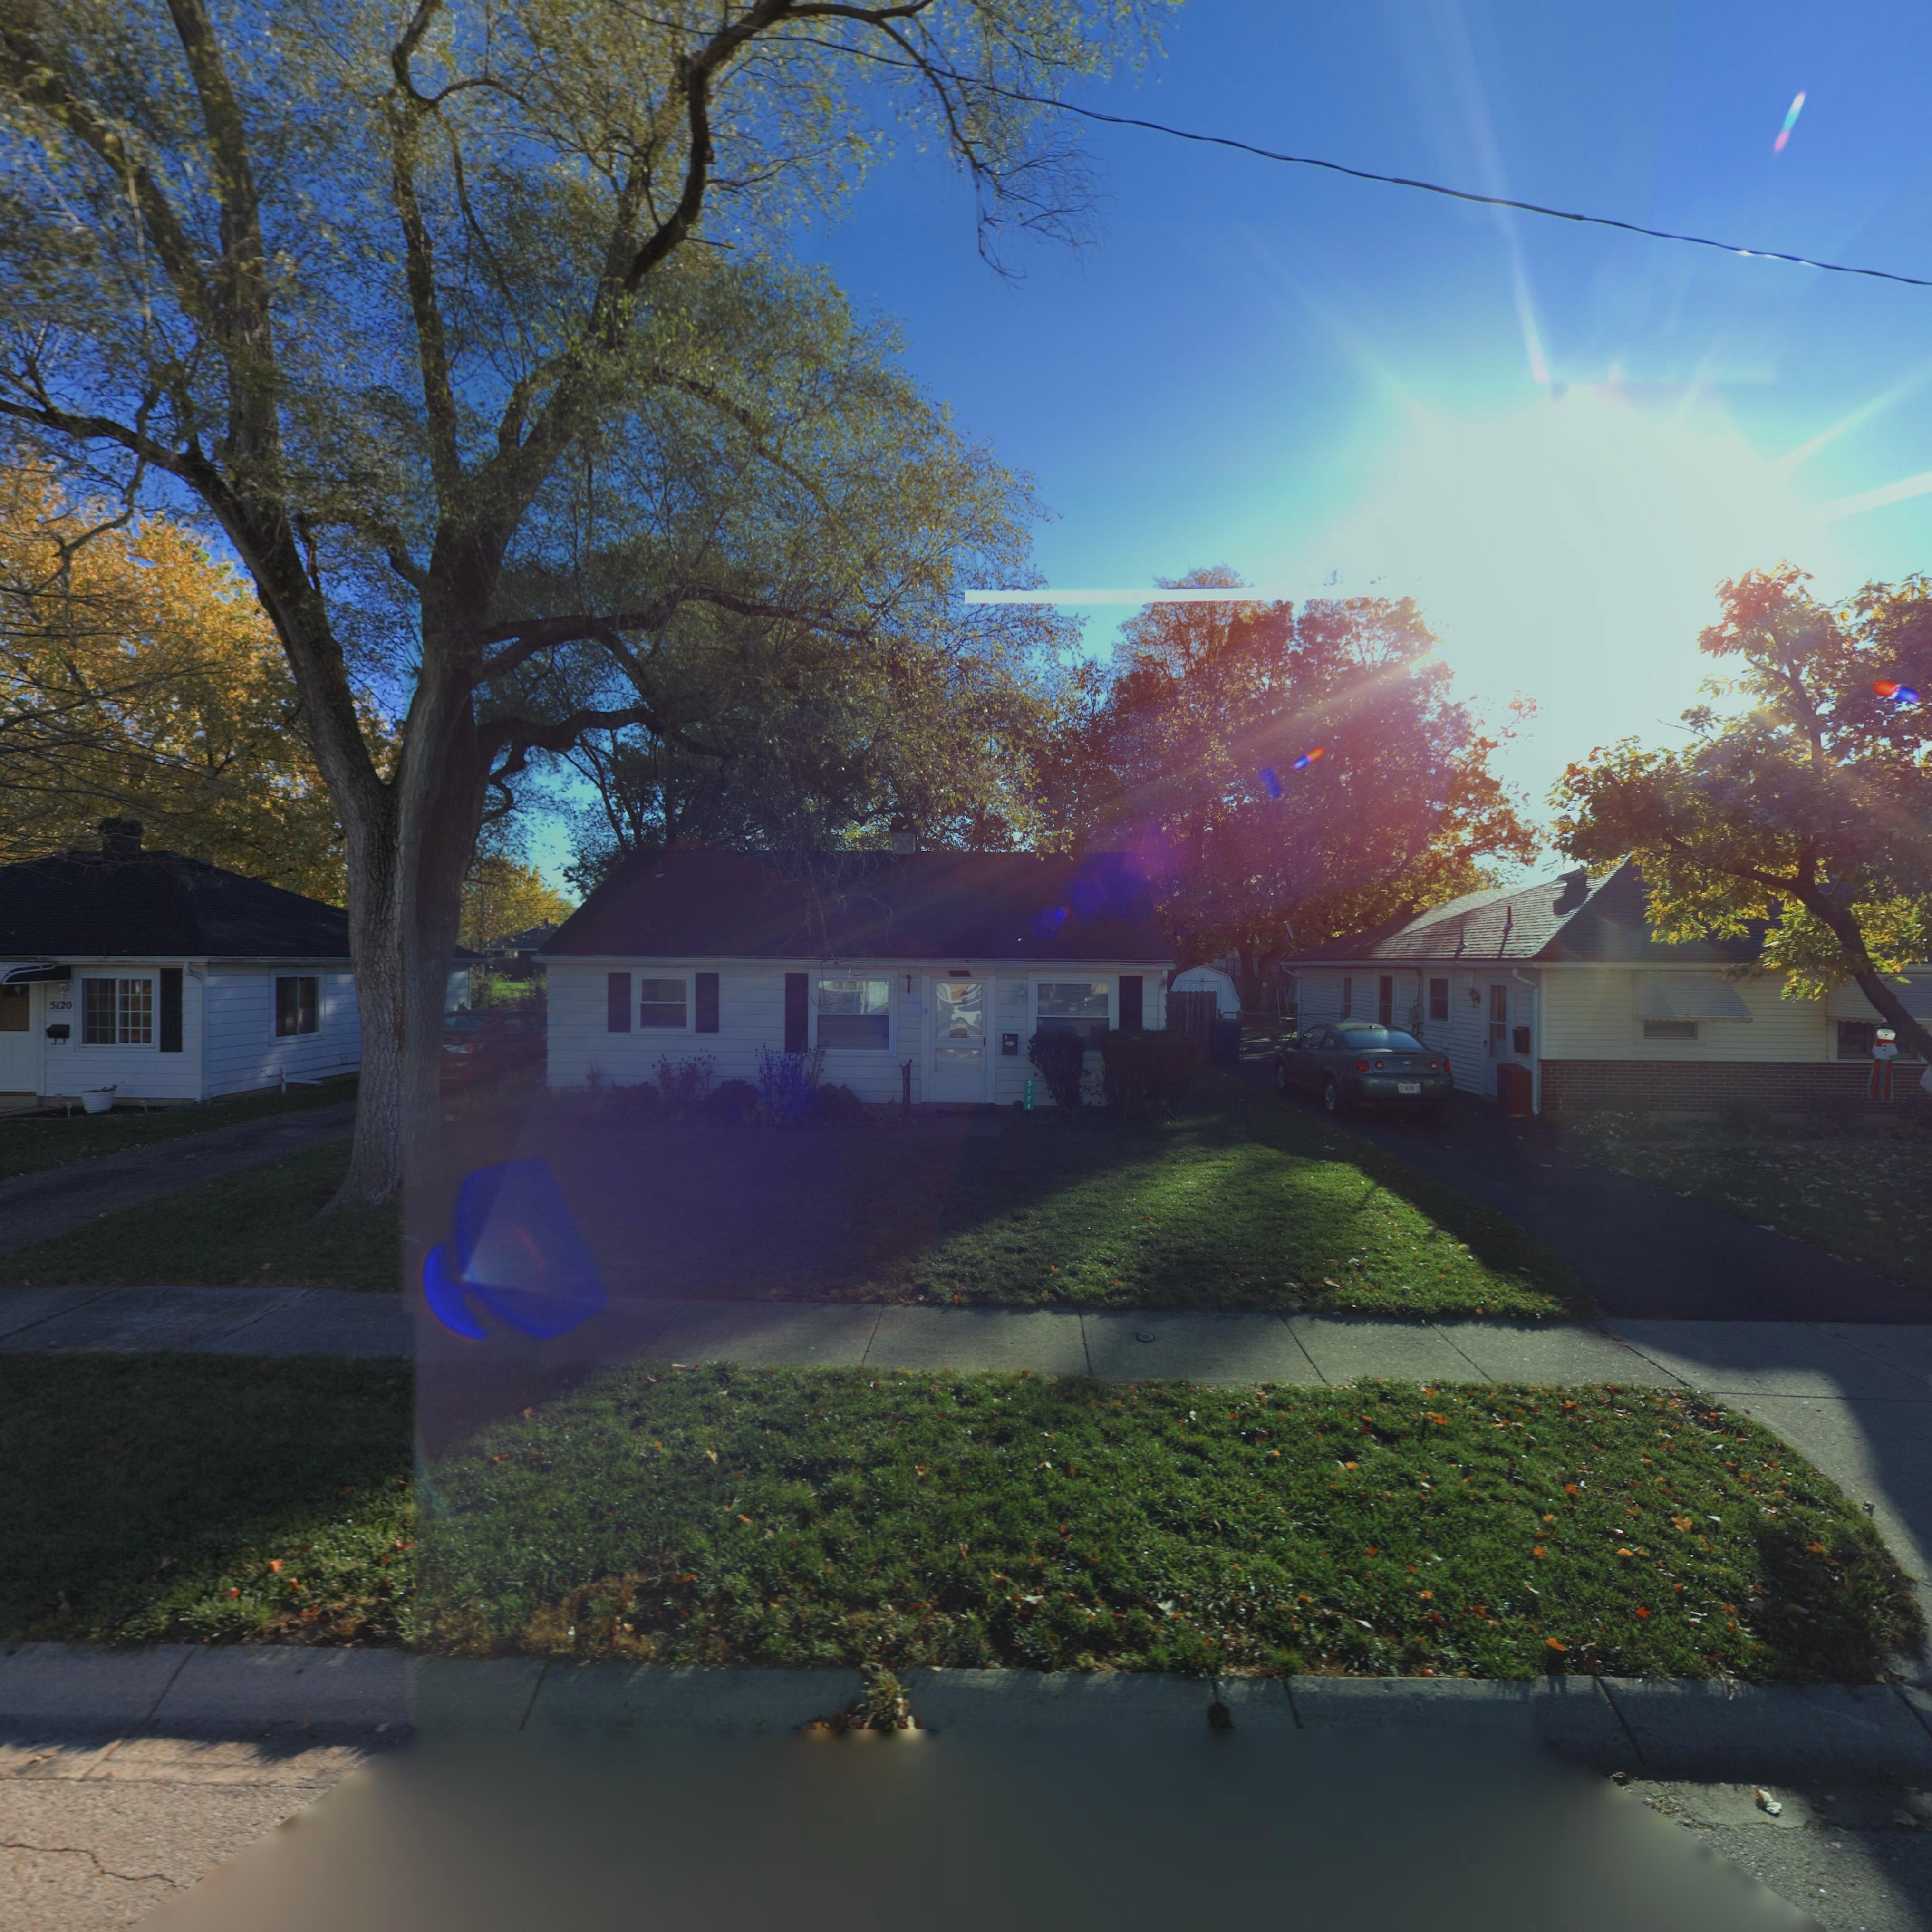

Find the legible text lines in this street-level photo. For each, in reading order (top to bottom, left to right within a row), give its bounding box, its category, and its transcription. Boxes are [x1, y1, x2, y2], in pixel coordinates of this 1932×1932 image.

[48, 1001, 73, 1010] StreetNumber: 5120
[1026, 1080, 1032, 1109] StreetNumber: 5124